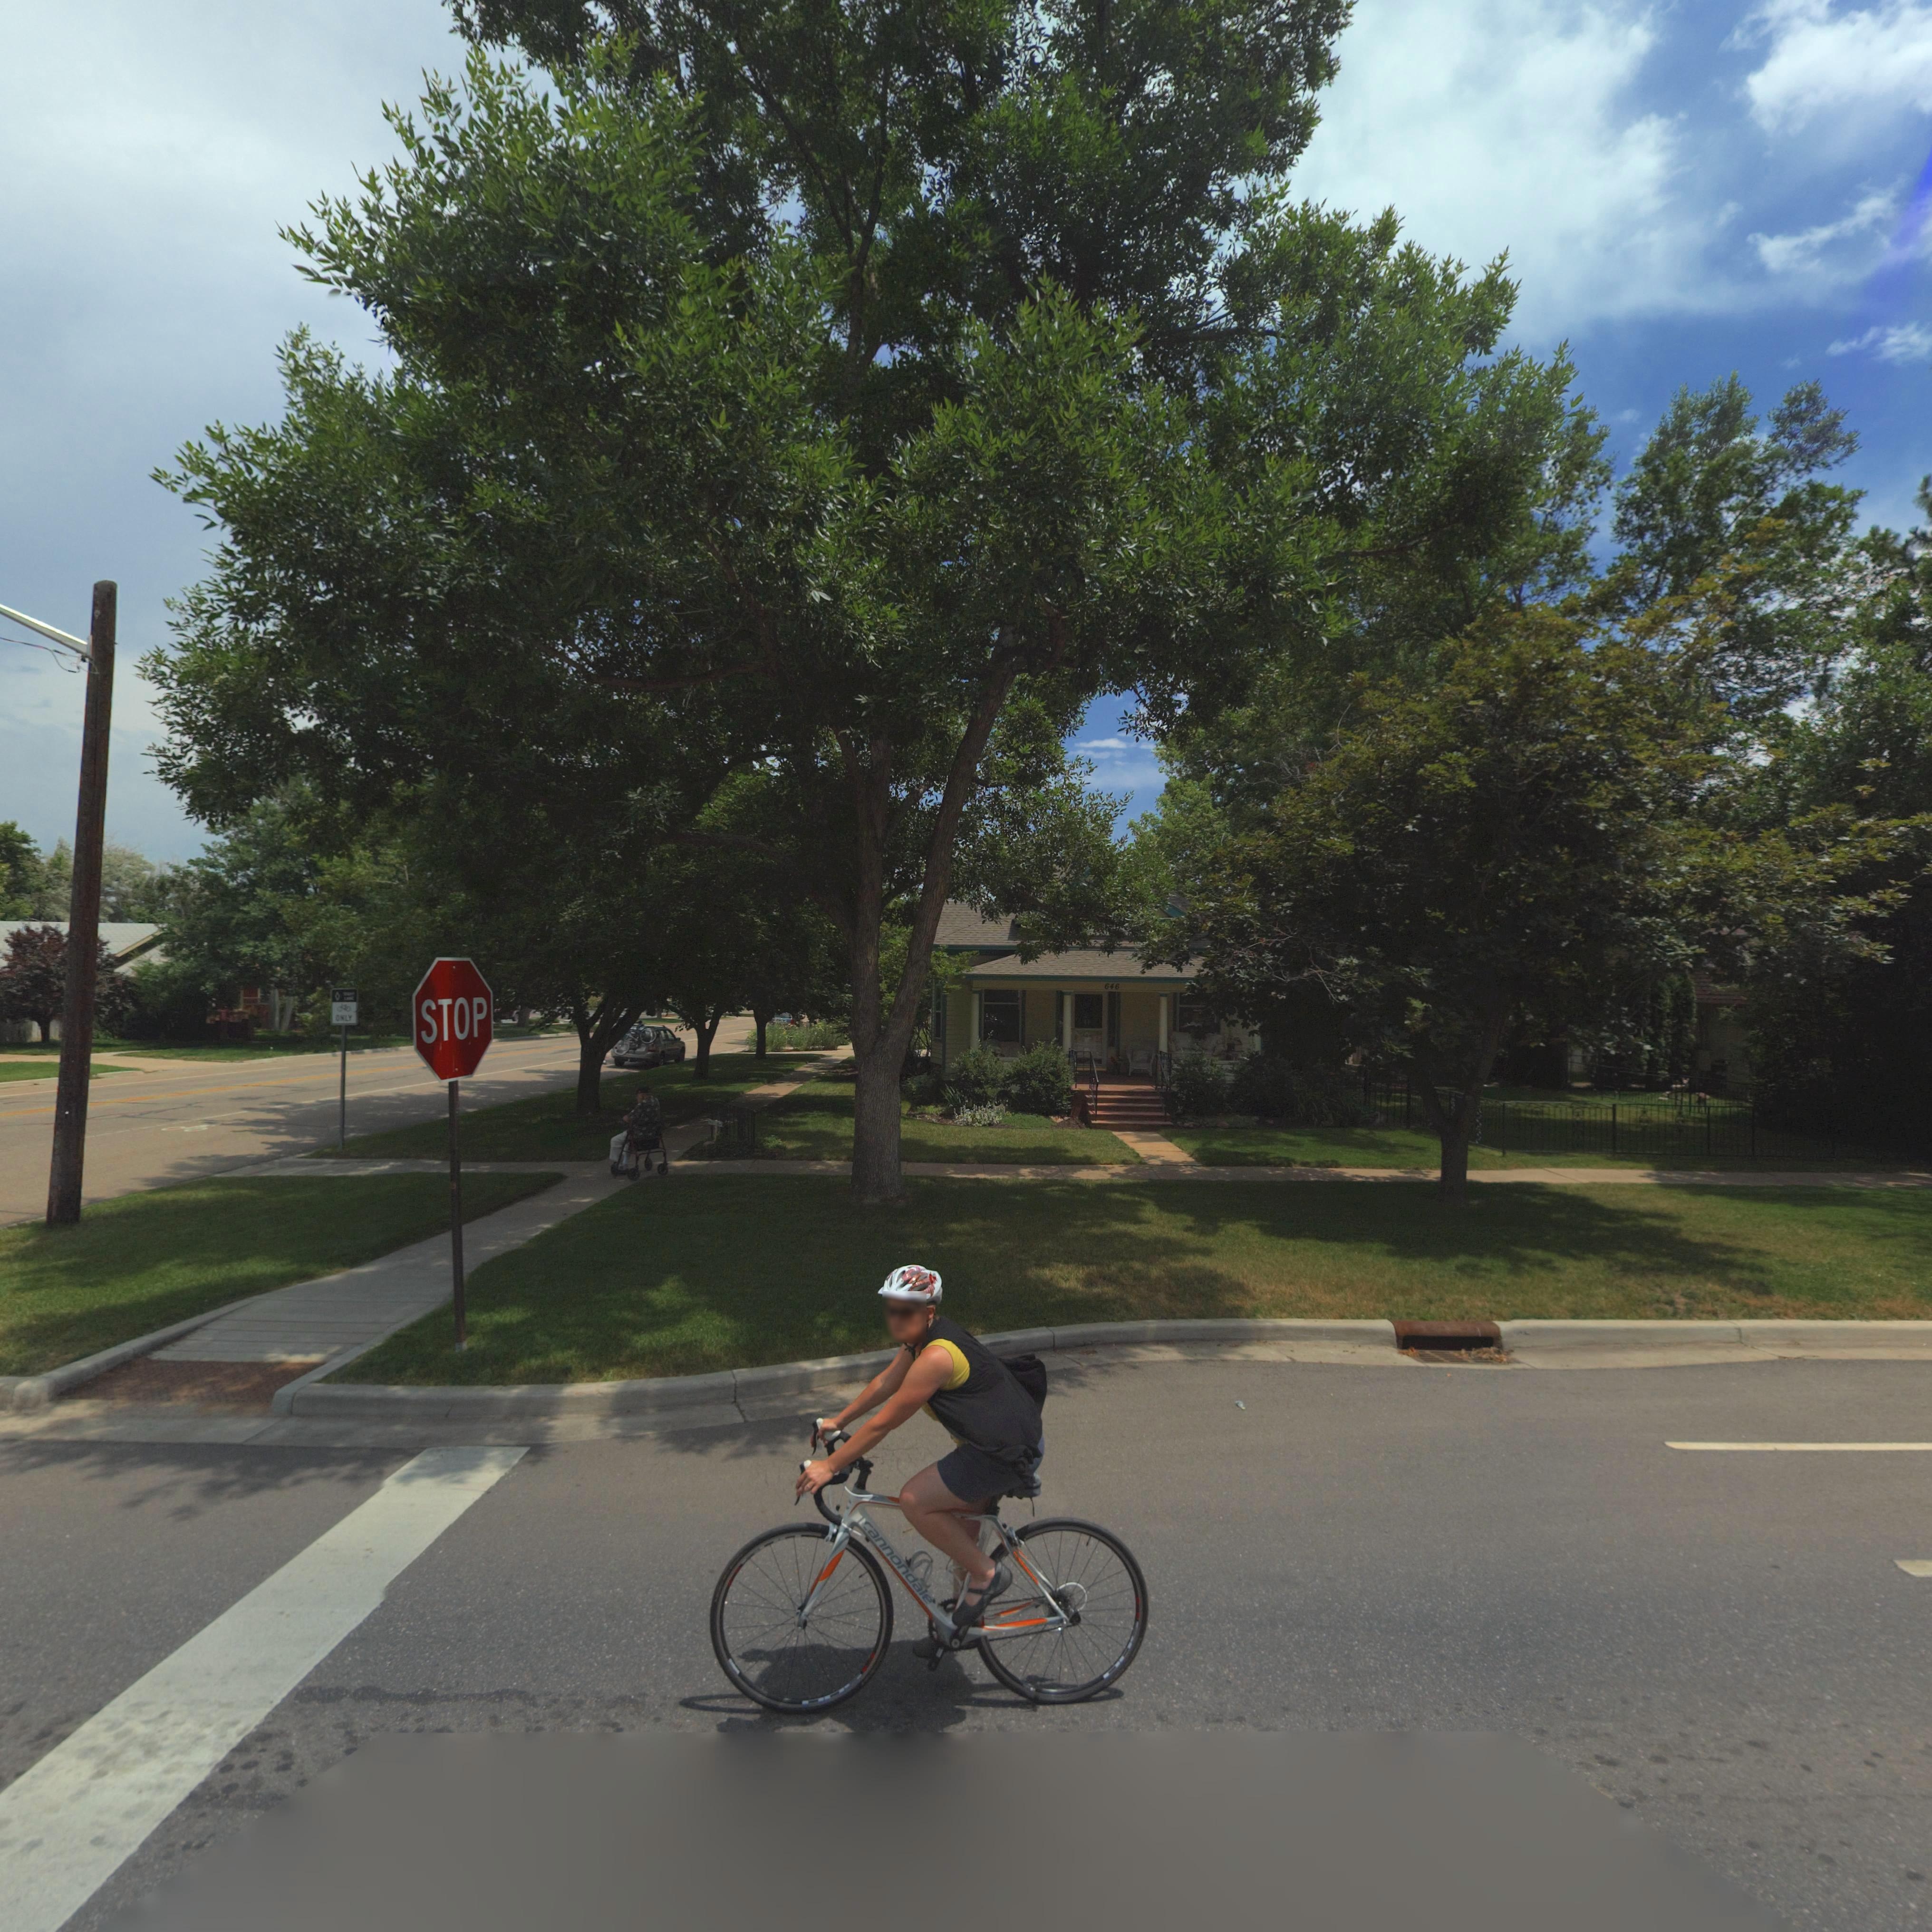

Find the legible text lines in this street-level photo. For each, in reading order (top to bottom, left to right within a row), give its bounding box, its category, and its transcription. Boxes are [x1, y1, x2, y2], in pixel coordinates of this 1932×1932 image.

[1104, 983, 1120, 989] StreetNumber: 646